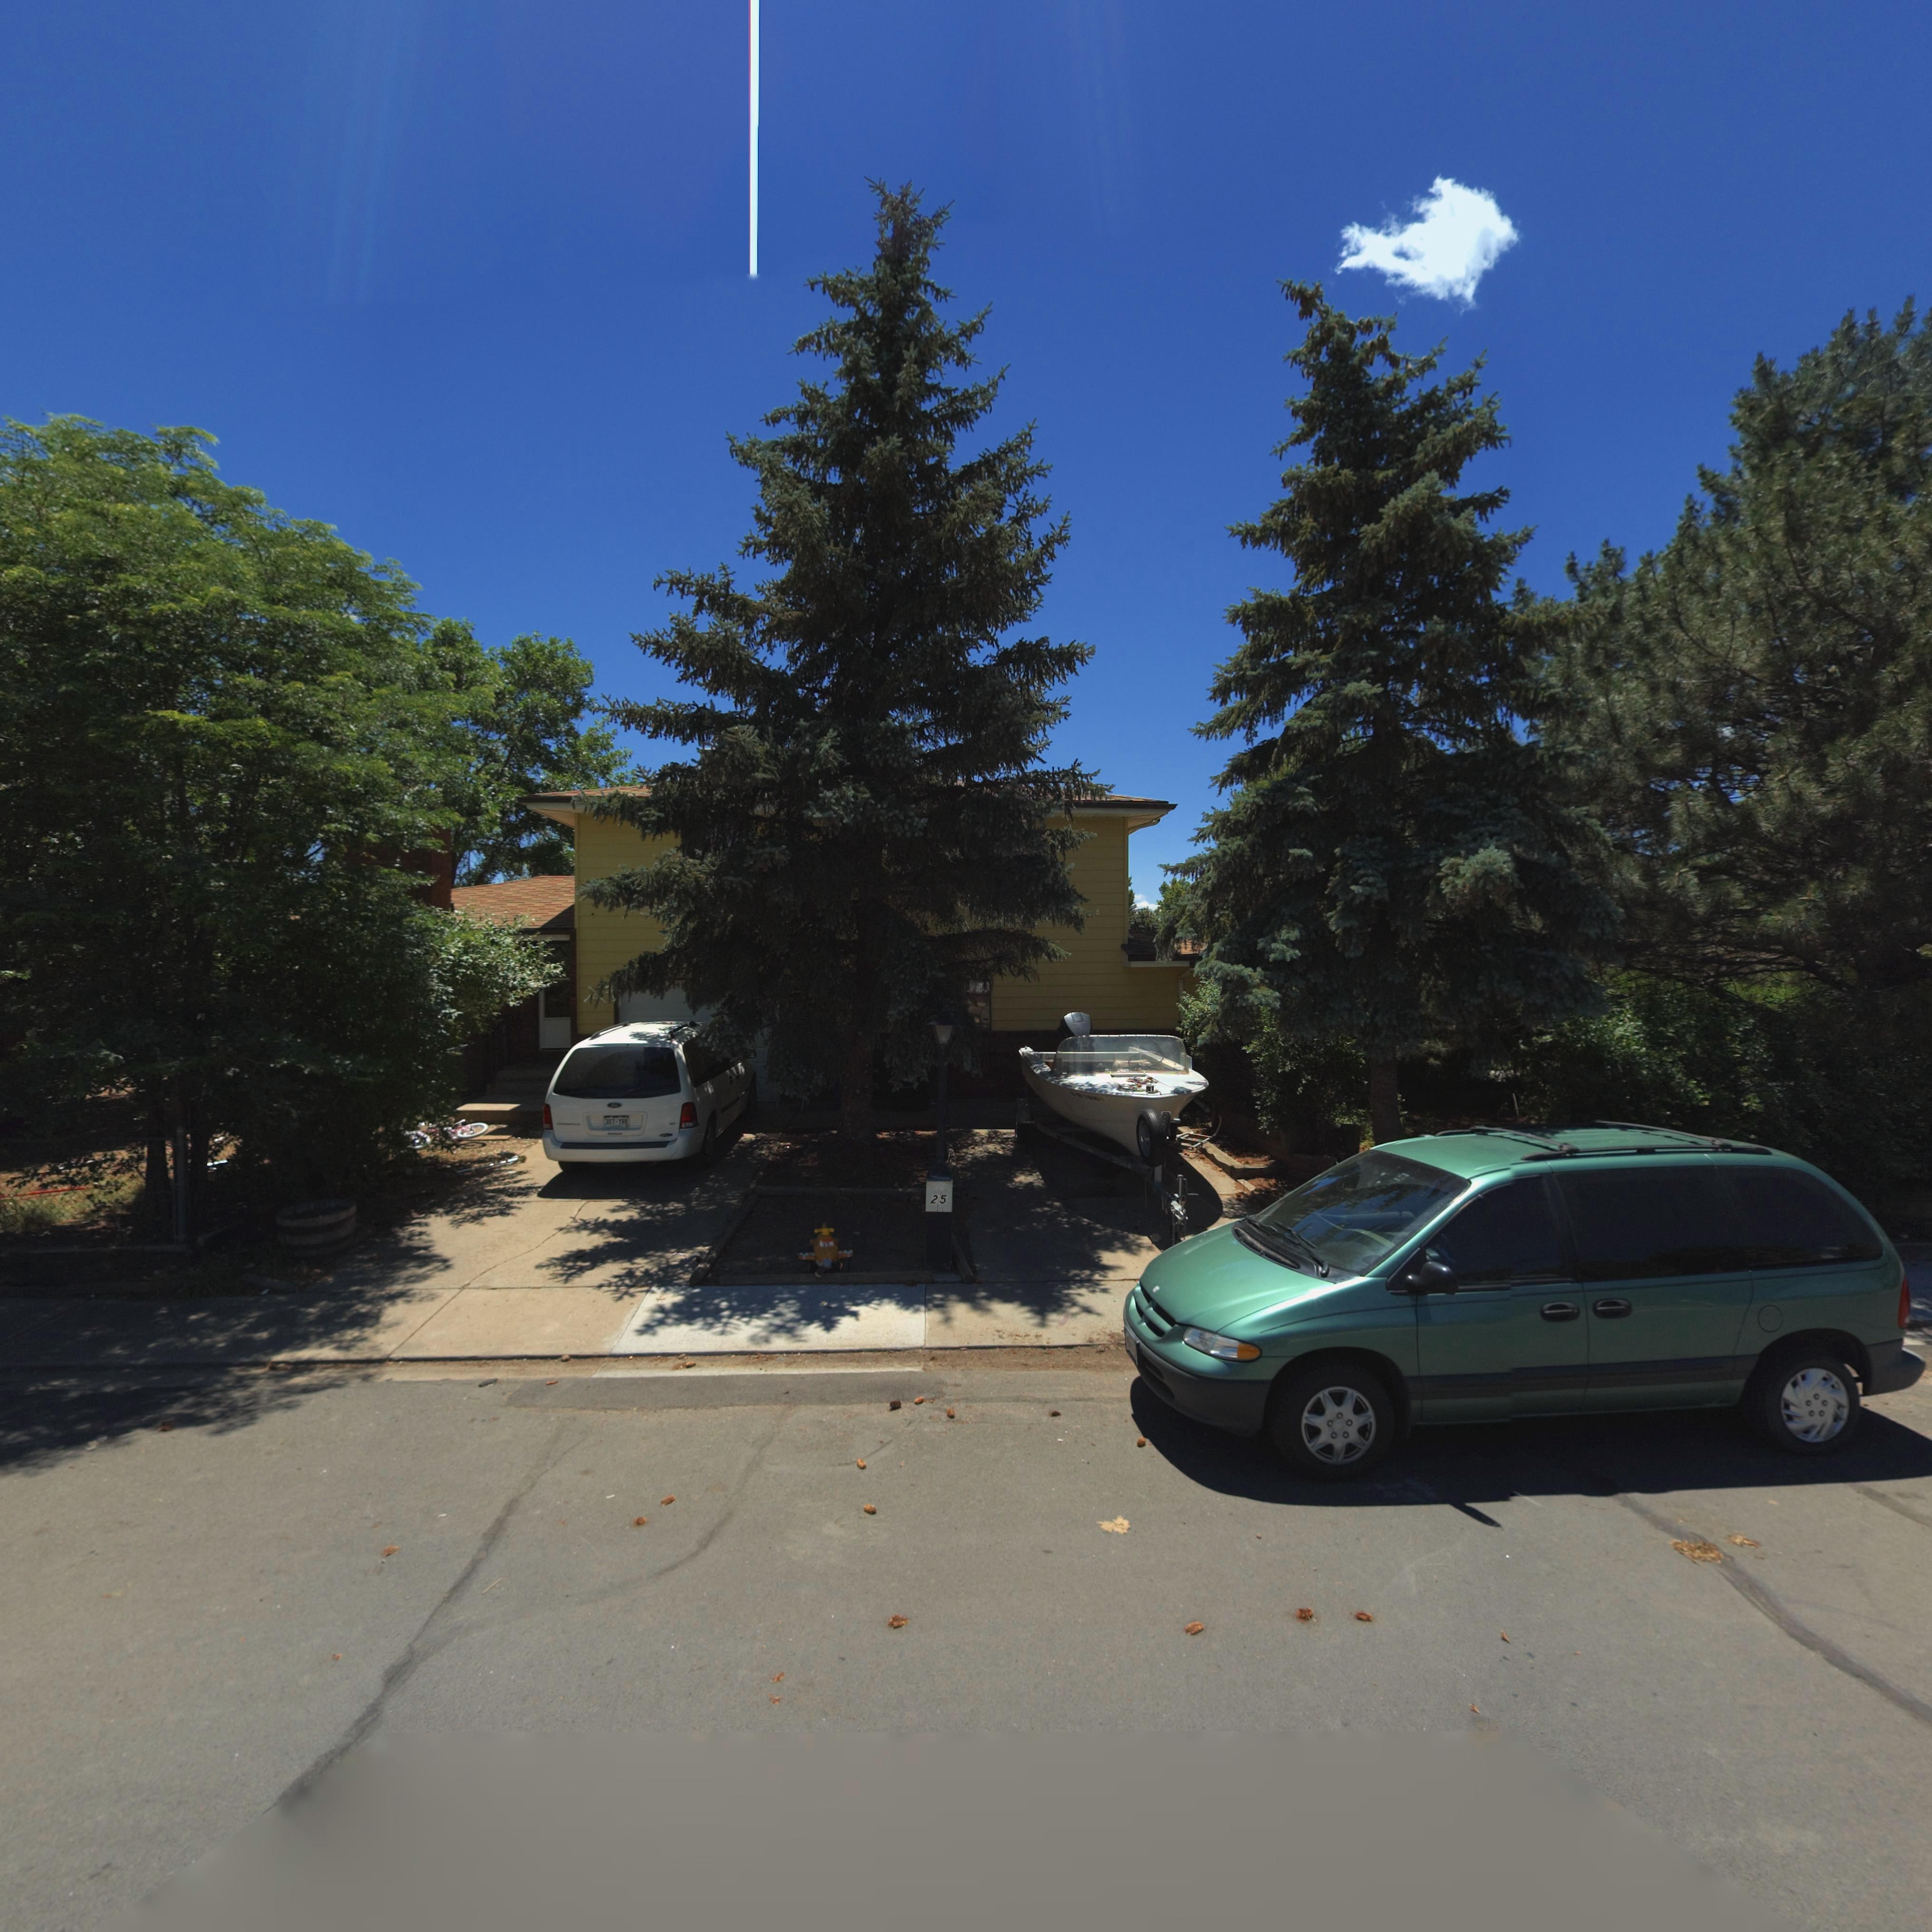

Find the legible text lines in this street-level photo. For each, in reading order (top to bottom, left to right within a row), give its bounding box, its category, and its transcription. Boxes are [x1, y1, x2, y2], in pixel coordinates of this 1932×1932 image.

[930, 1194, 948, 1204] StreetNumber: 25